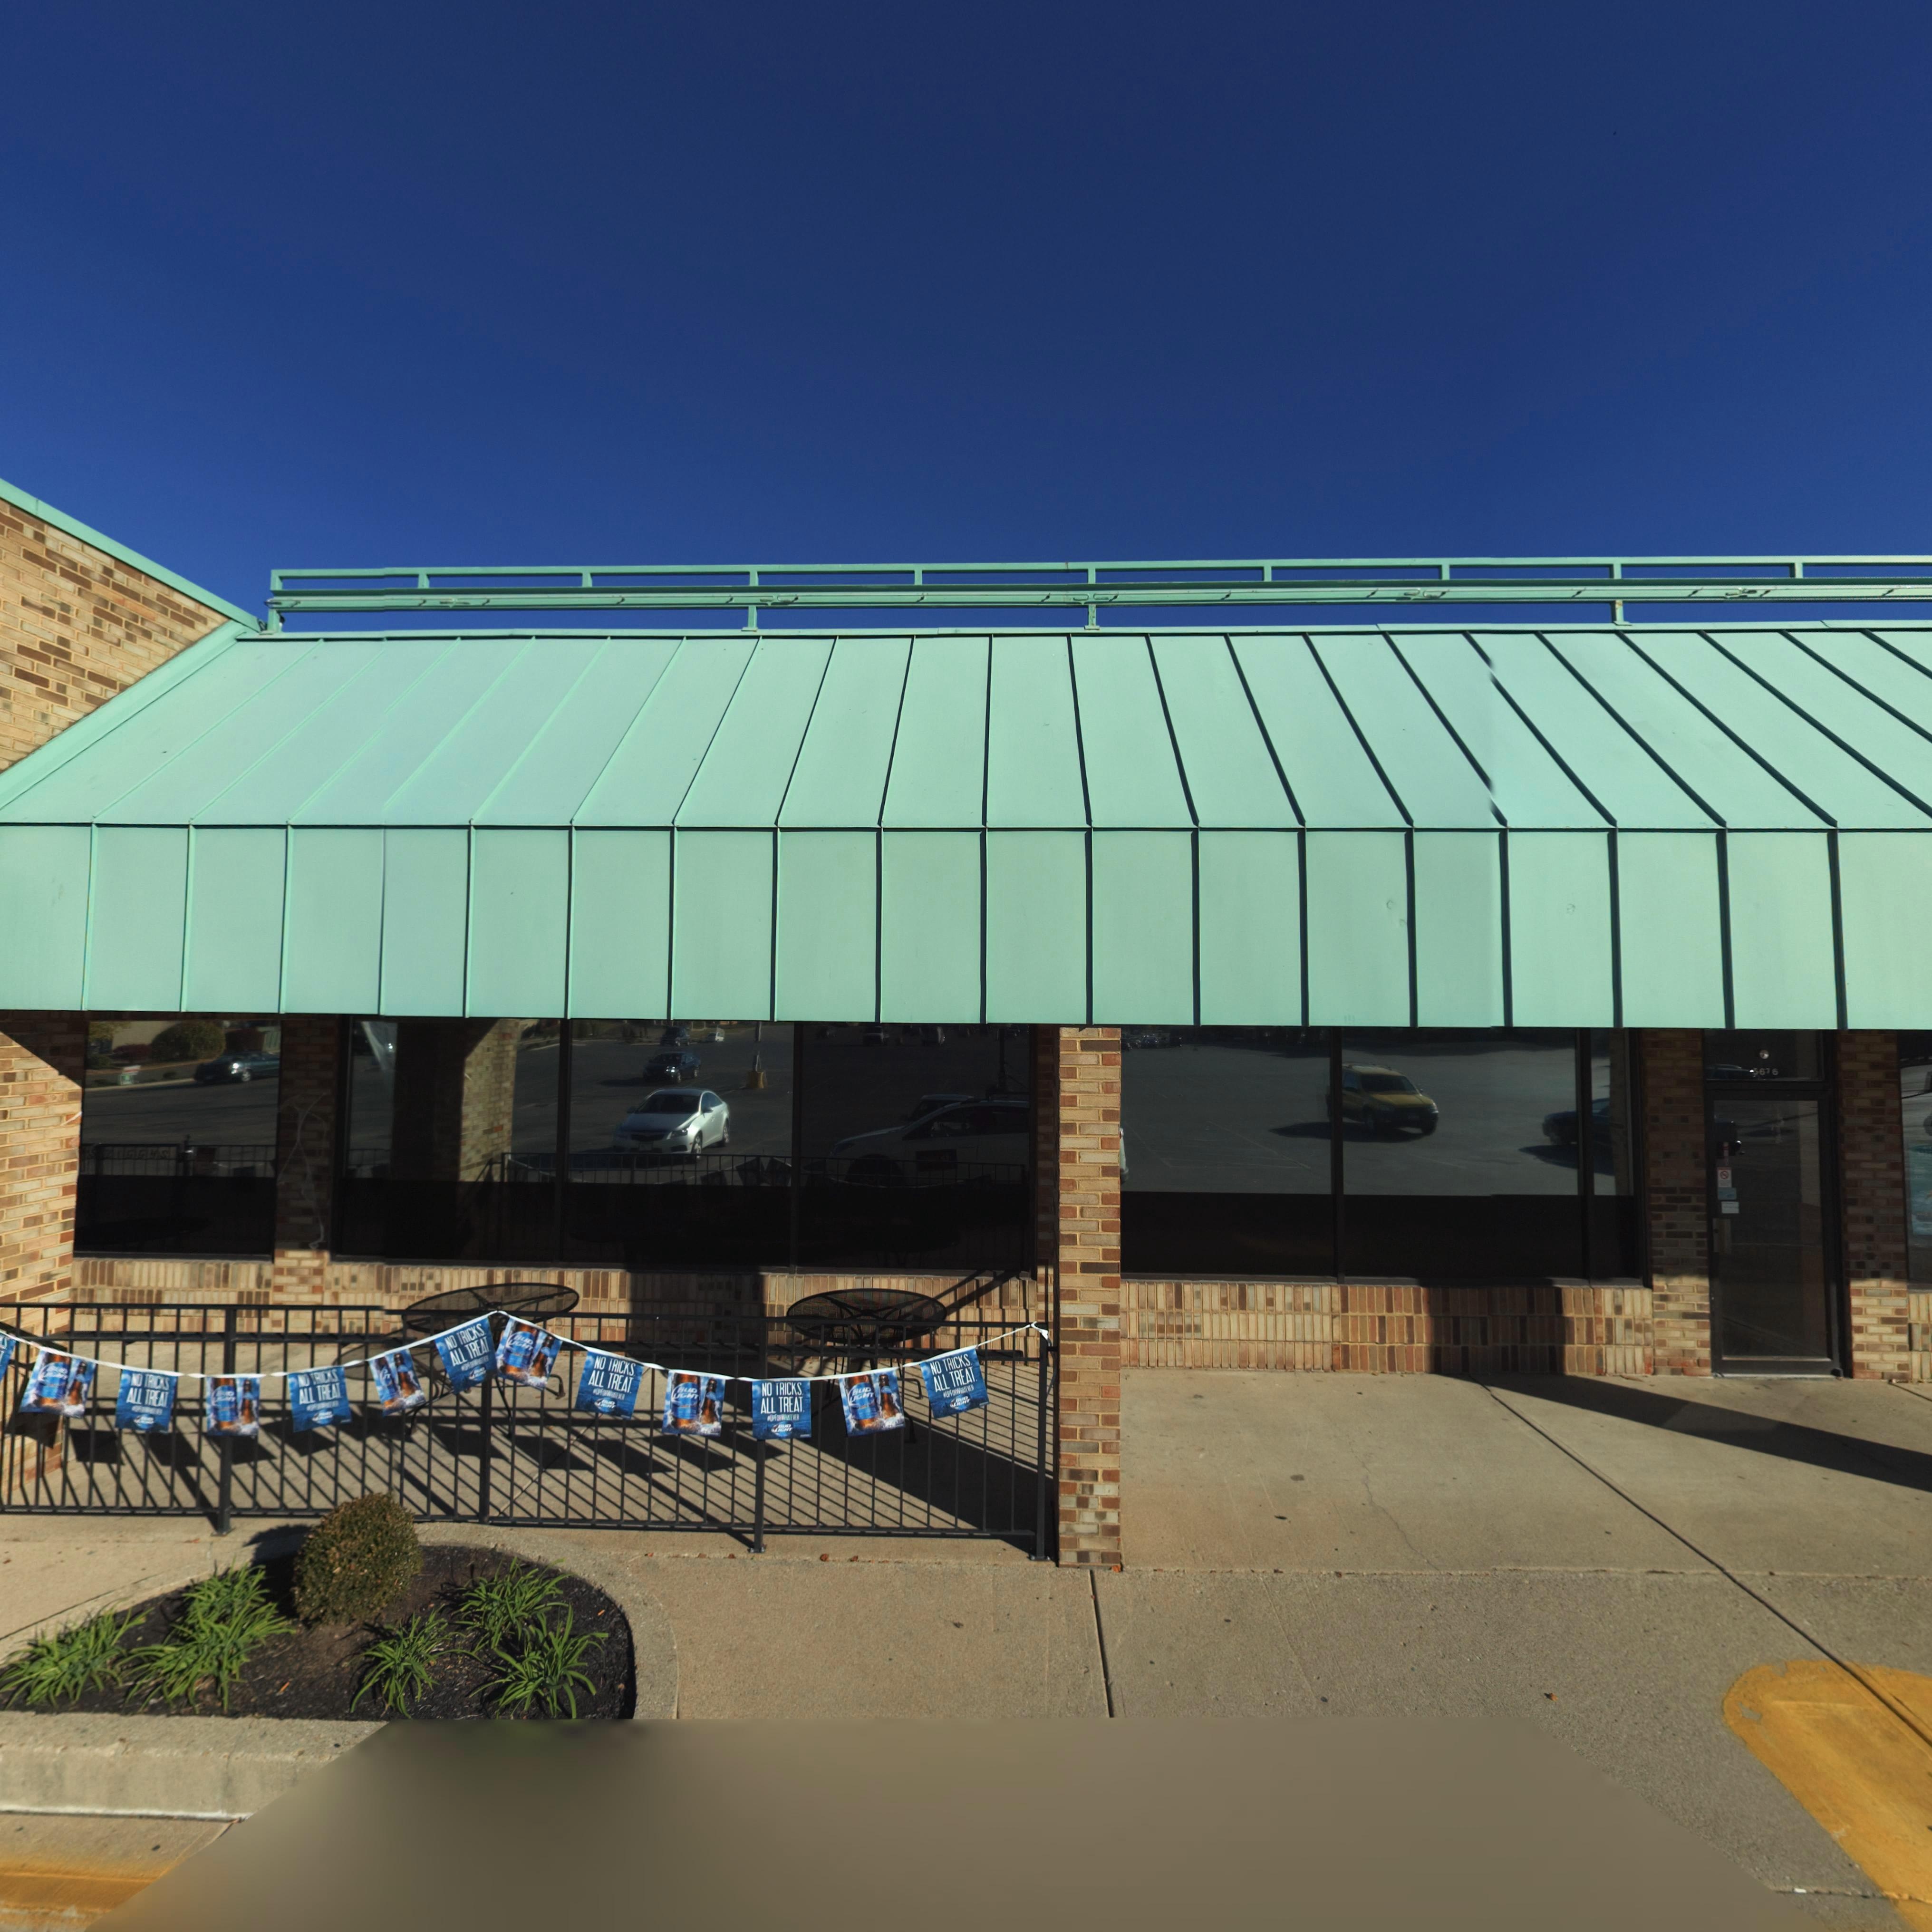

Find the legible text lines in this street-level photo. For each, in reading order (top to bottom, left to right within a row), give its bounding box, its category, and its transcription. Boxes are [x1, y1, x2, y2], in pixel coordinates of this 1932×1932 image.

[1752, 1067, 1779, 1076] StreetNumber: 5676